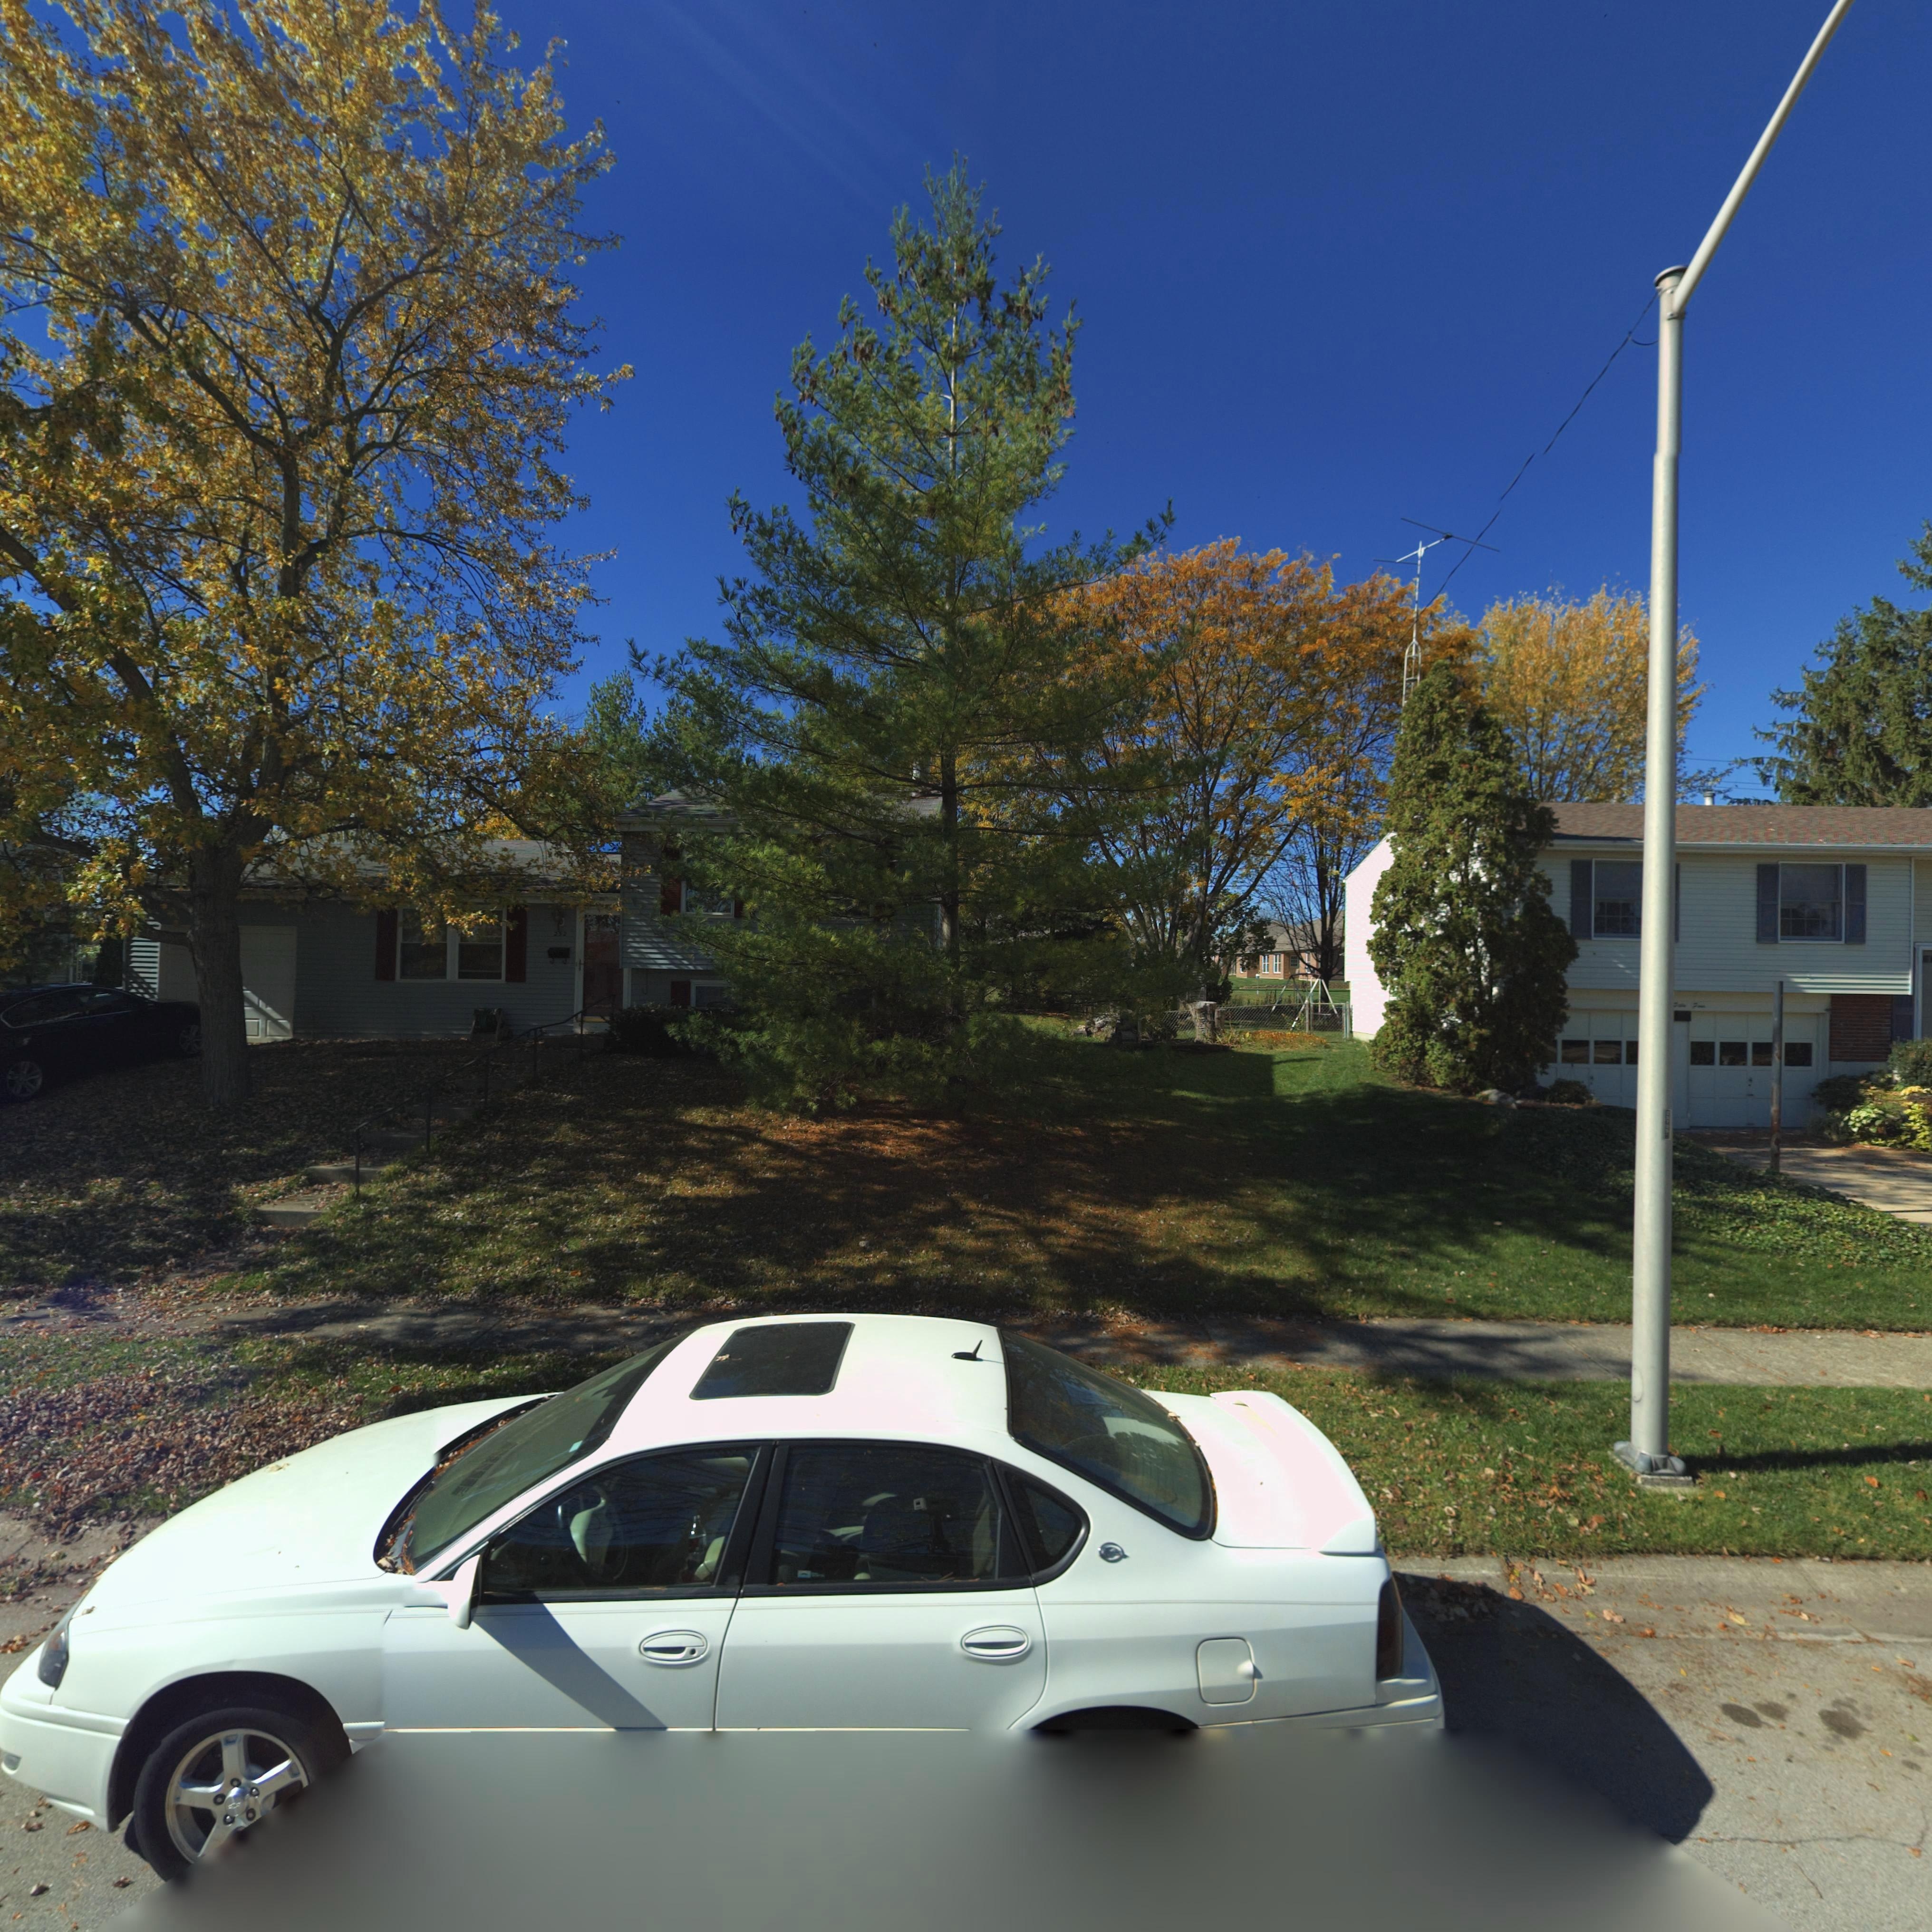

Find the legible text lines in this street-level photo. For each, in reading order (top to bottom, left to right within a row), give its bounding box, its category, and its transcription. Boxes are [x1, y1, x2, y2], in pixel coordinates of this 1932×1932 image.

[553, 930, 568, 937] StreetNumber: 252